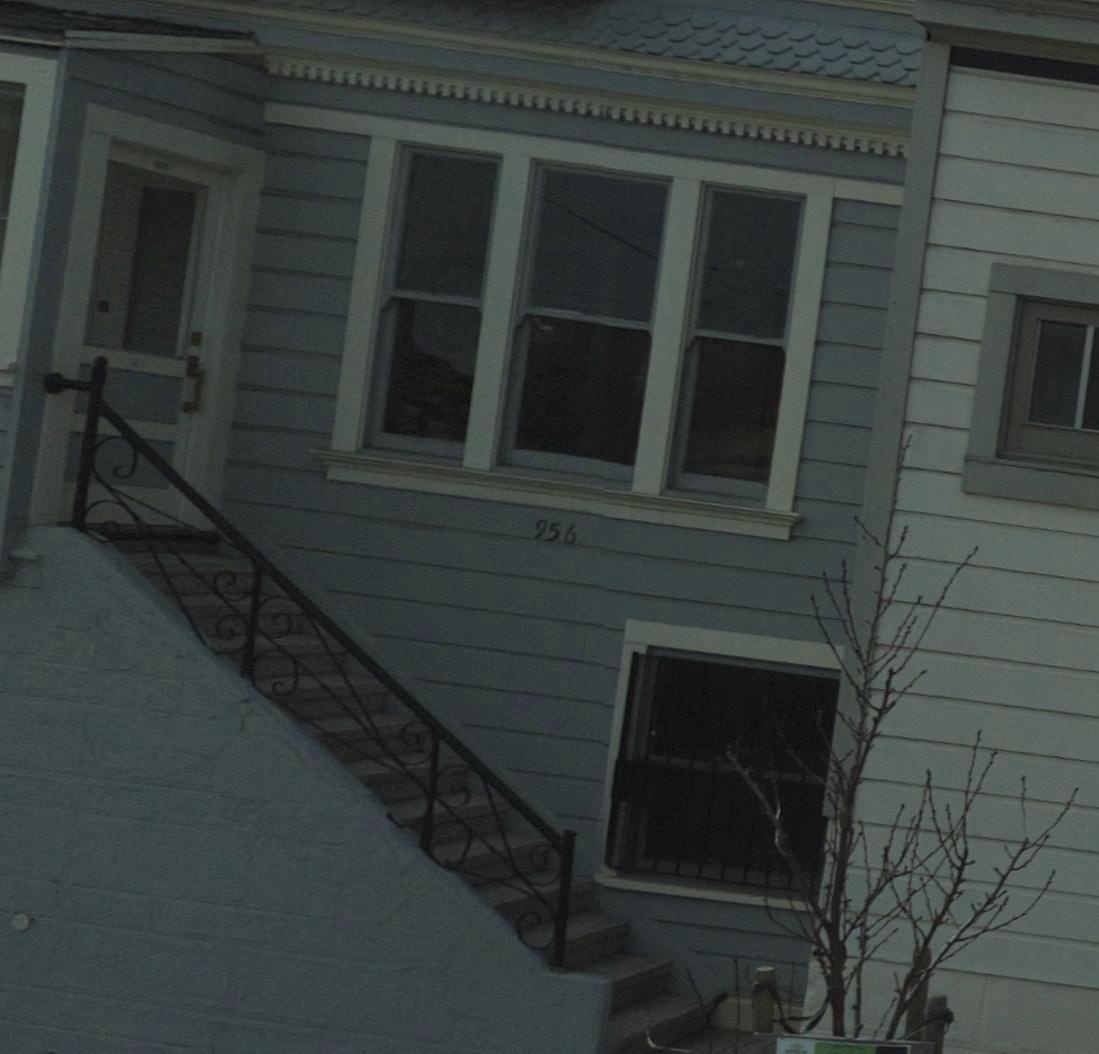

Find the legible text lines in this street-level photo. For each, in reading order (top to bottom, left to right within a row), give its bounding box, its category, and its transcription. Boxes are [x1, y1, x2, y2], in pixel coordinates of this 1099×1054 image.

[531, 518, 578, 546] StreetNumber: 956